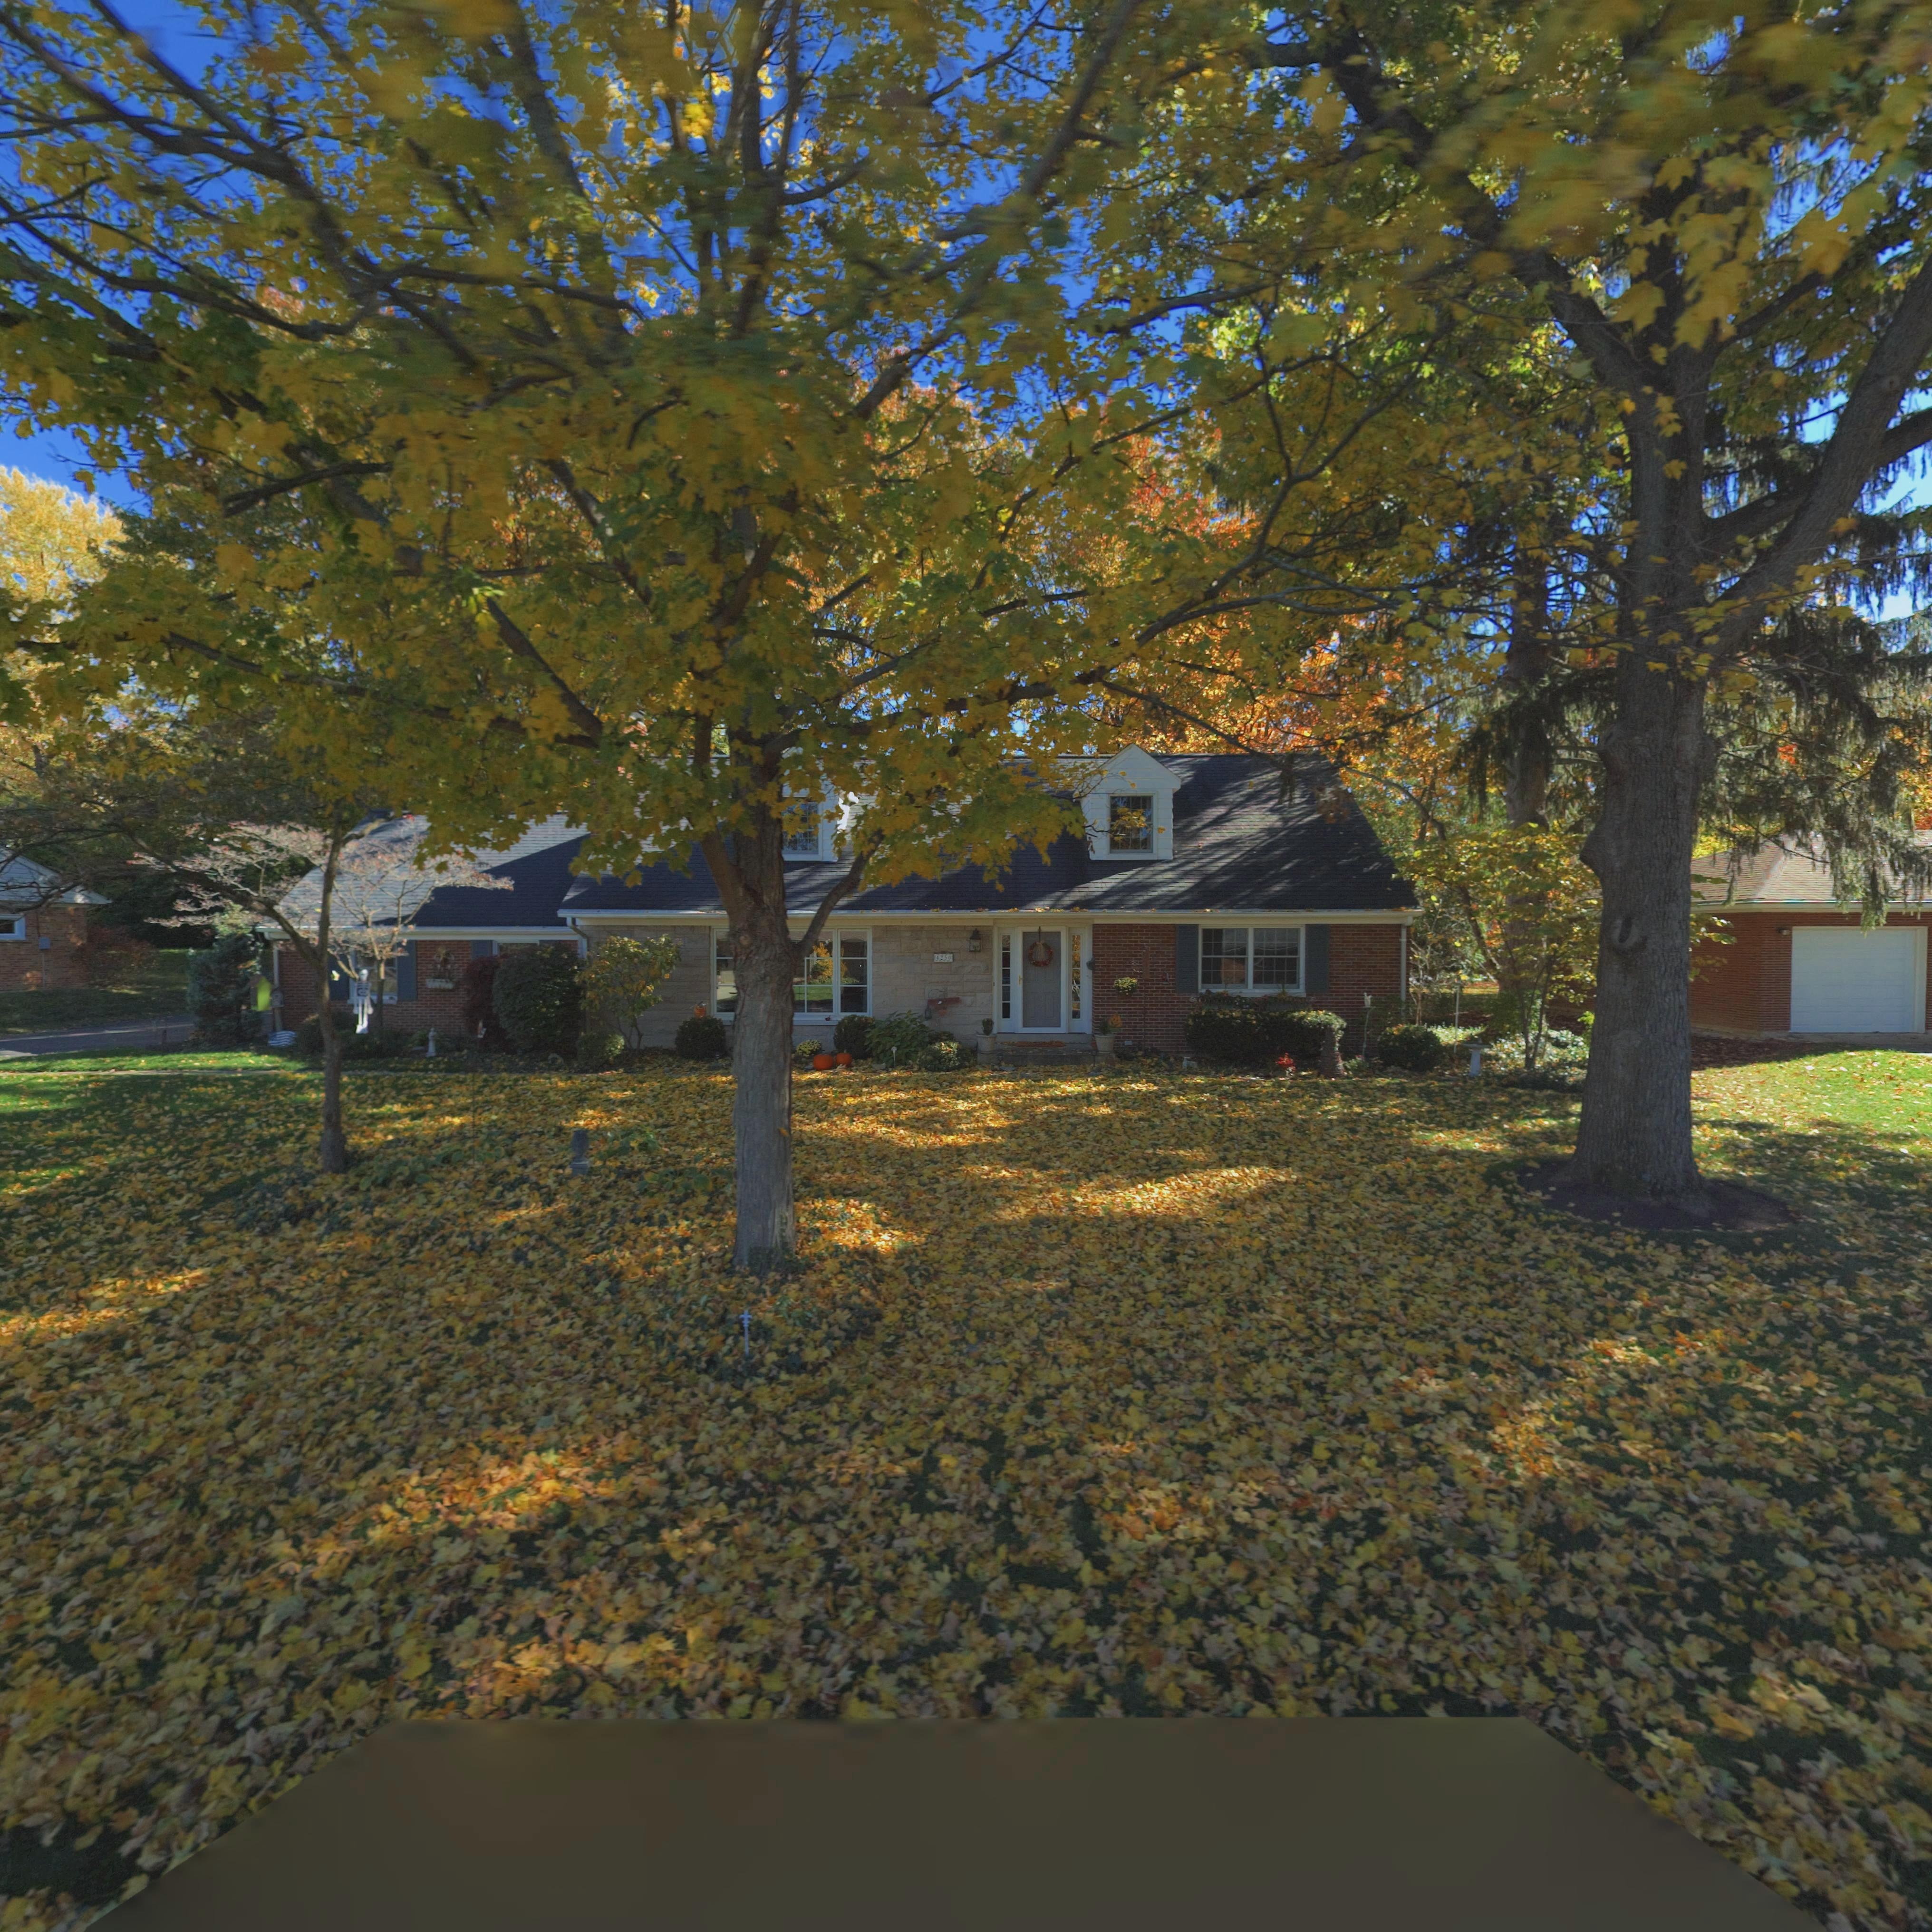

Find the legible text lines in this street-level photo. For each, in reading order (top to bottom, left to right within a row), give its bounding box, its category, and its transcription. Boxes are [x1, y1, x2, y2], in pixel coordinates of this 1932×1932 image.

[936, 955, 951, 961] StreetNumber: 4250